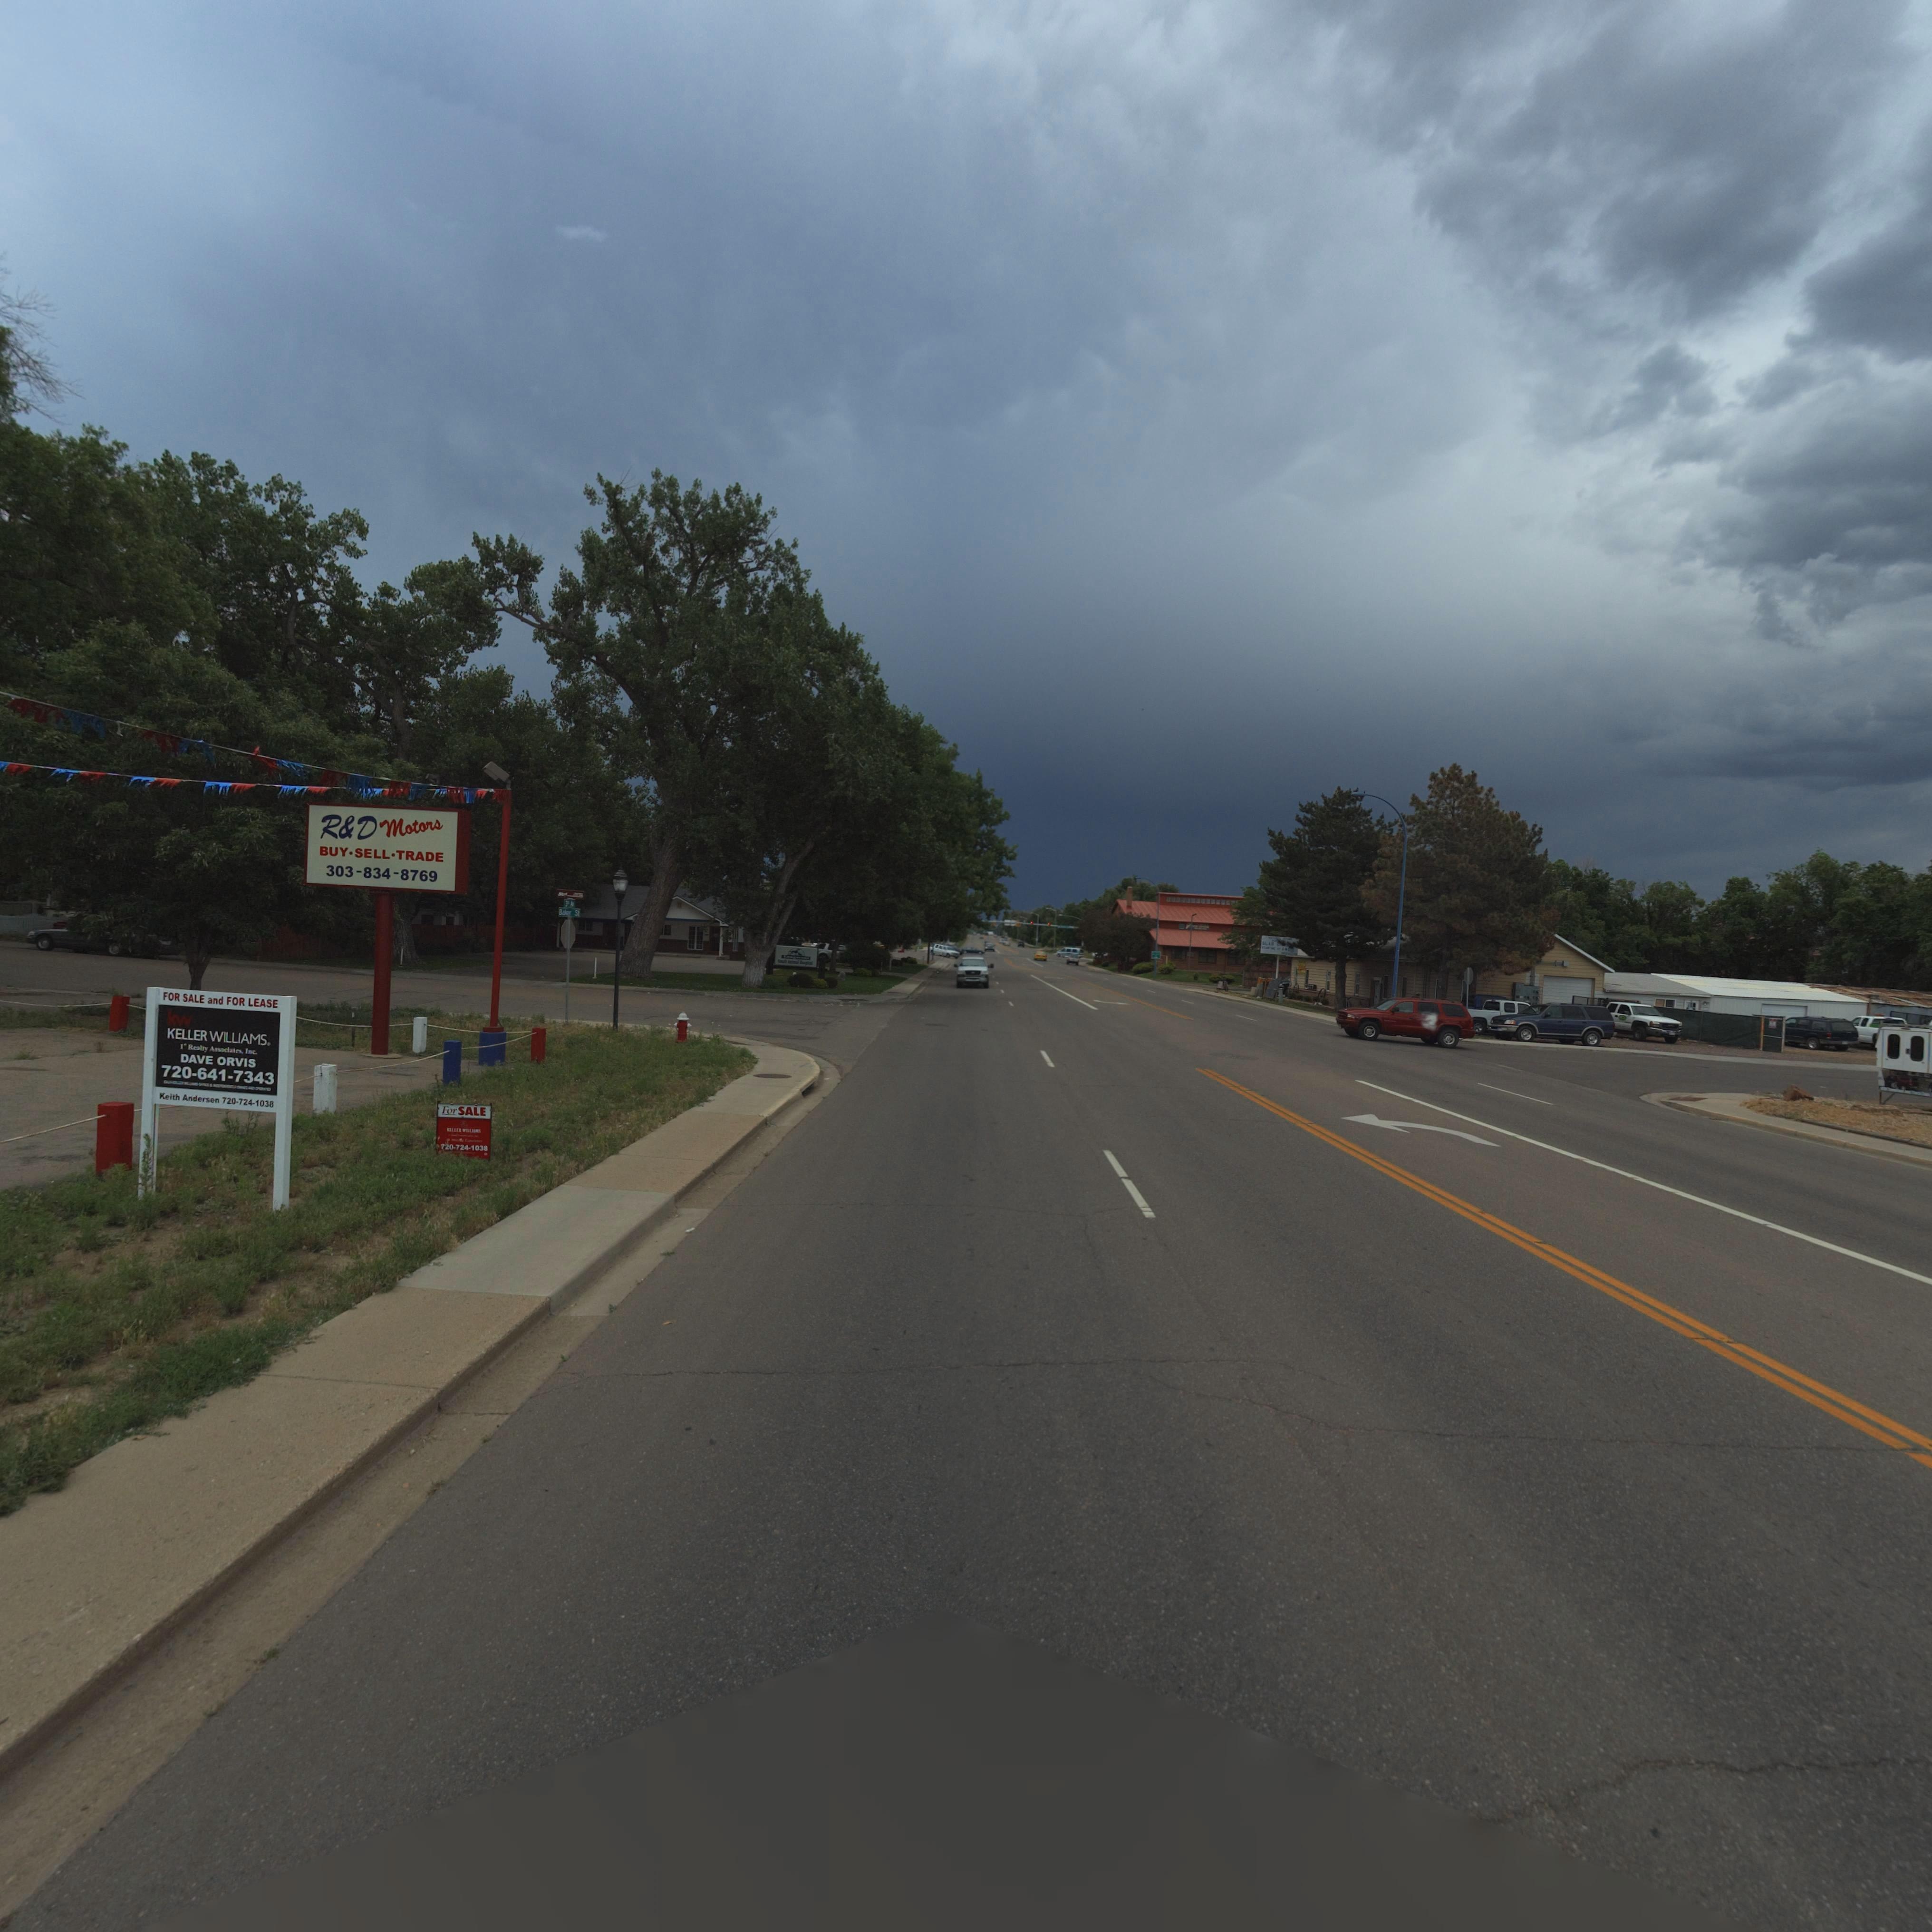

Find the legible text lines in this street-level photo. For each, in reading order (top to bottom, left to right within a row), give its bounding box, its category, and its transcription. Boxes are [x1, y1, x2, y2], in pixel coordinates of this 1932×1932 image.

[319, 813, 377, 840] BusinessName: R&D
[378, 817, 444, 838] BusinessName: Motors
[565, 900, 574, 907] StreetName: 3rd Av
[559, 908, 580, 916] StreetName: Baker St
[783, 955, 809, 959] BusinessName: Longmont
[777, 958, 813, 966] BusinessName: Small Animal Hospital